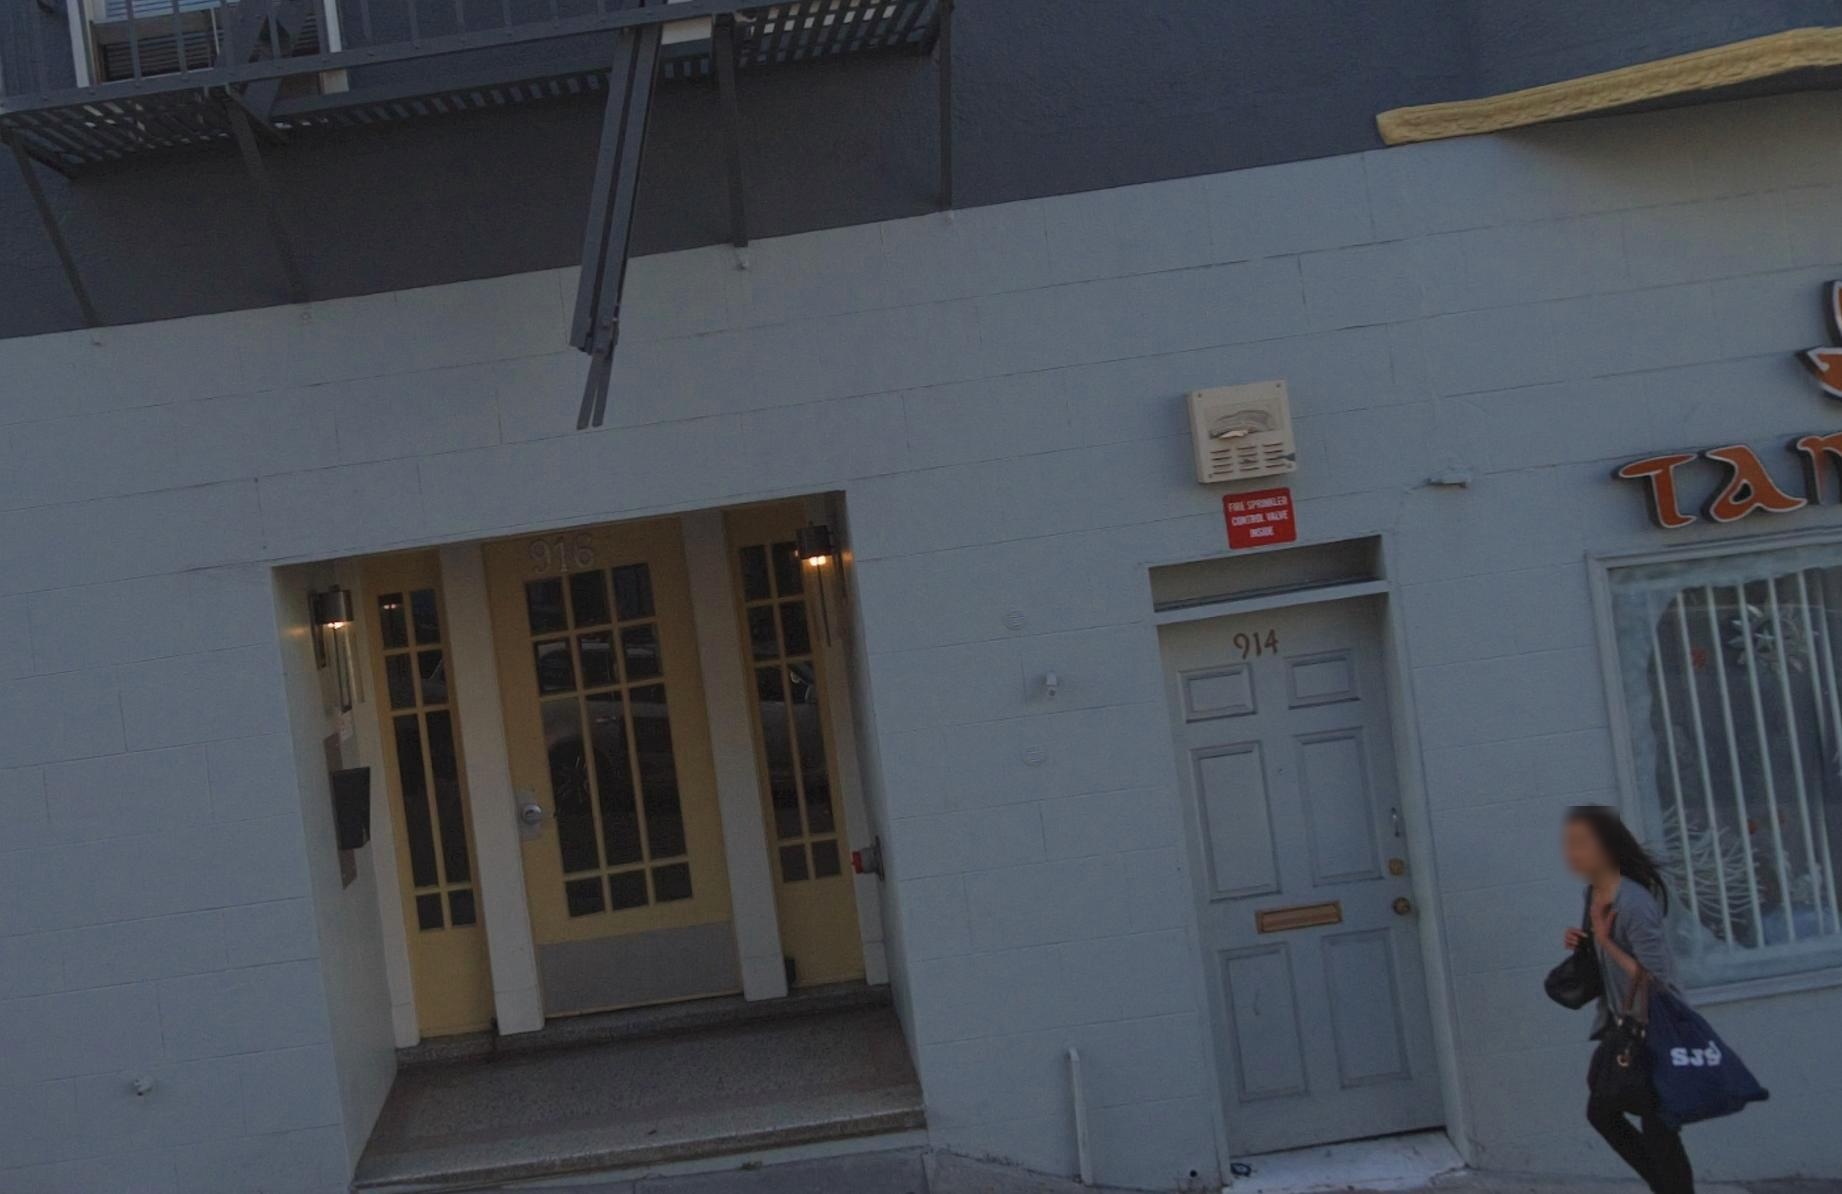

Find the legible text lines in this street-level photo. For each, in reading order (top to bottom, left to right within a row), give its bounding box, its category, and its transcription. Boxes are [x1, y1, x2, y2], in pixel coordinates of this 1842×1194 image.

[1606, 436, 1817, 545] None: Ta
[526, 529, 600, 578] StreetNumber: 916
[1228, 623, 1284, 665] StreetNumber: 914